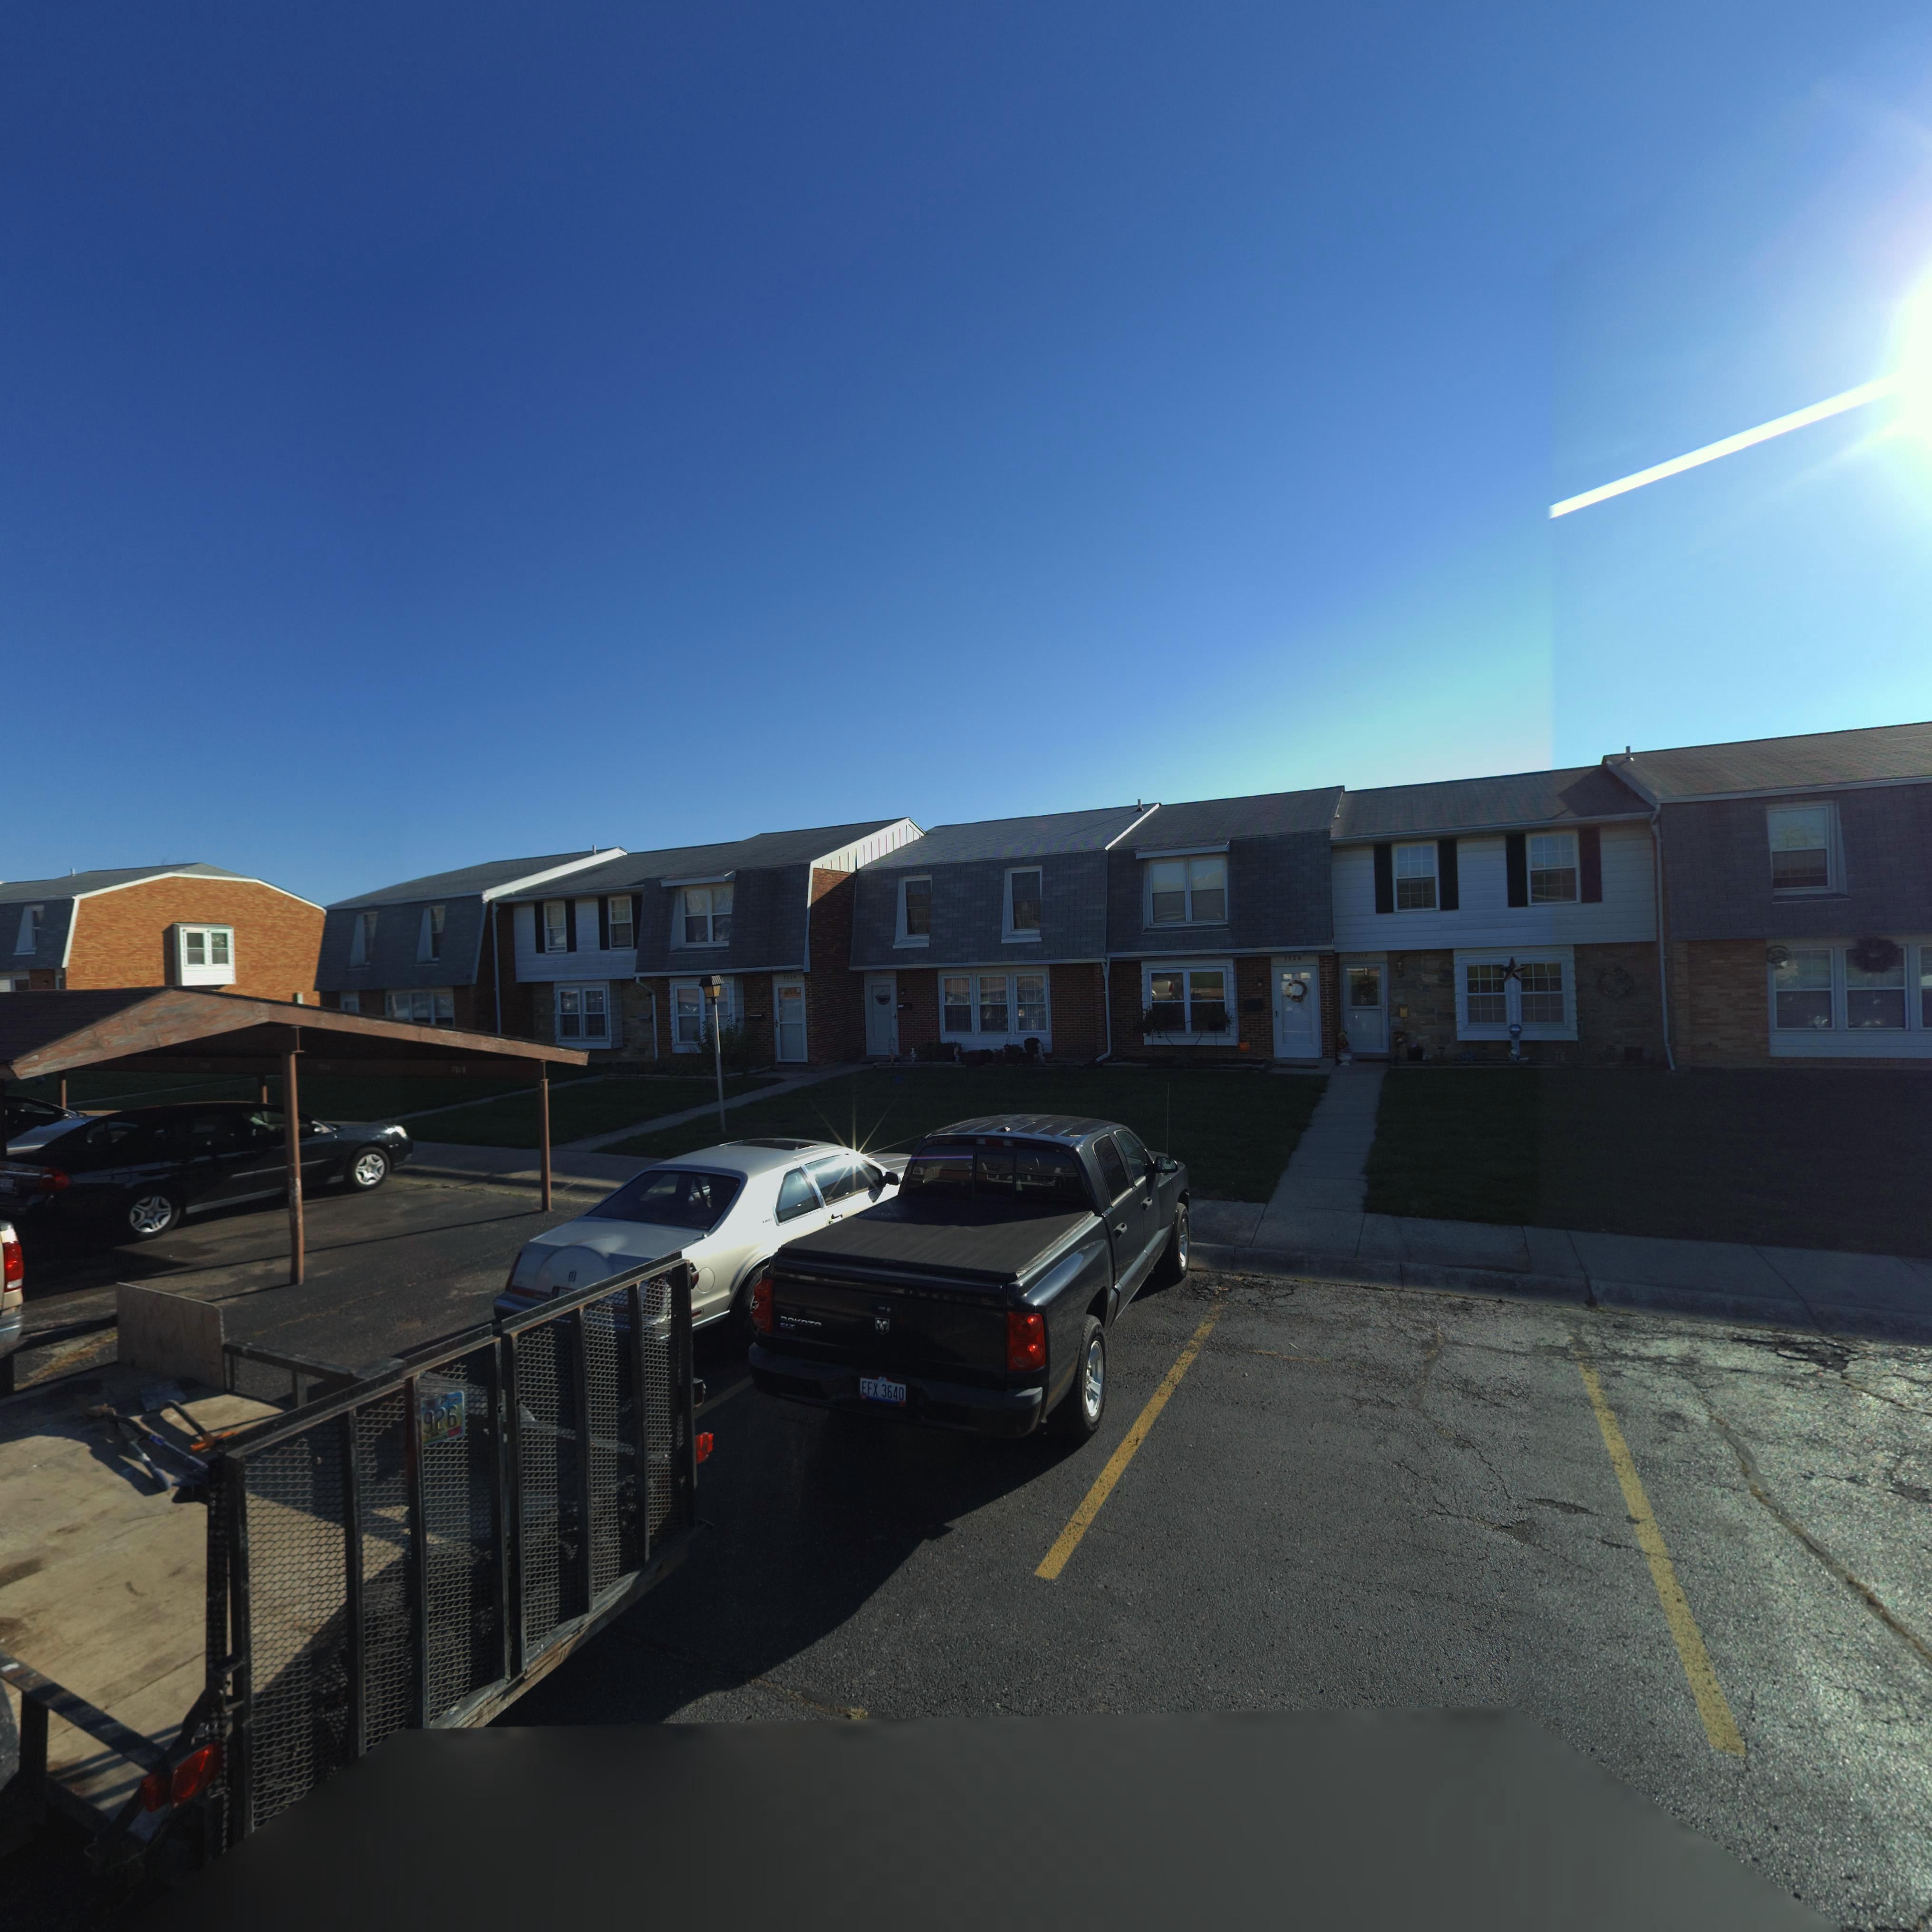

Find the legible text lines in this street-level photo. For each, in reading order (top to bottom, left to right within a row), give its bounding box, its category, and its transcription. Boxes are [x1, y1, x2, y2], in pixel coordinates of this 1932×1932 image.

[1284, 956, 1301, 961] StreetNumber: 7520
[1353, 953, 1368, 958] StreetNumber: 7518
[874, 970, 887, 975] StreetNumber: 7522
[783, 974, 796, 980] StreetNumber: 7524
[317, 1063, 331, 1071] StreetNumber: 7***
[450, 1065, 467, 1074] StreetNumber: 7516